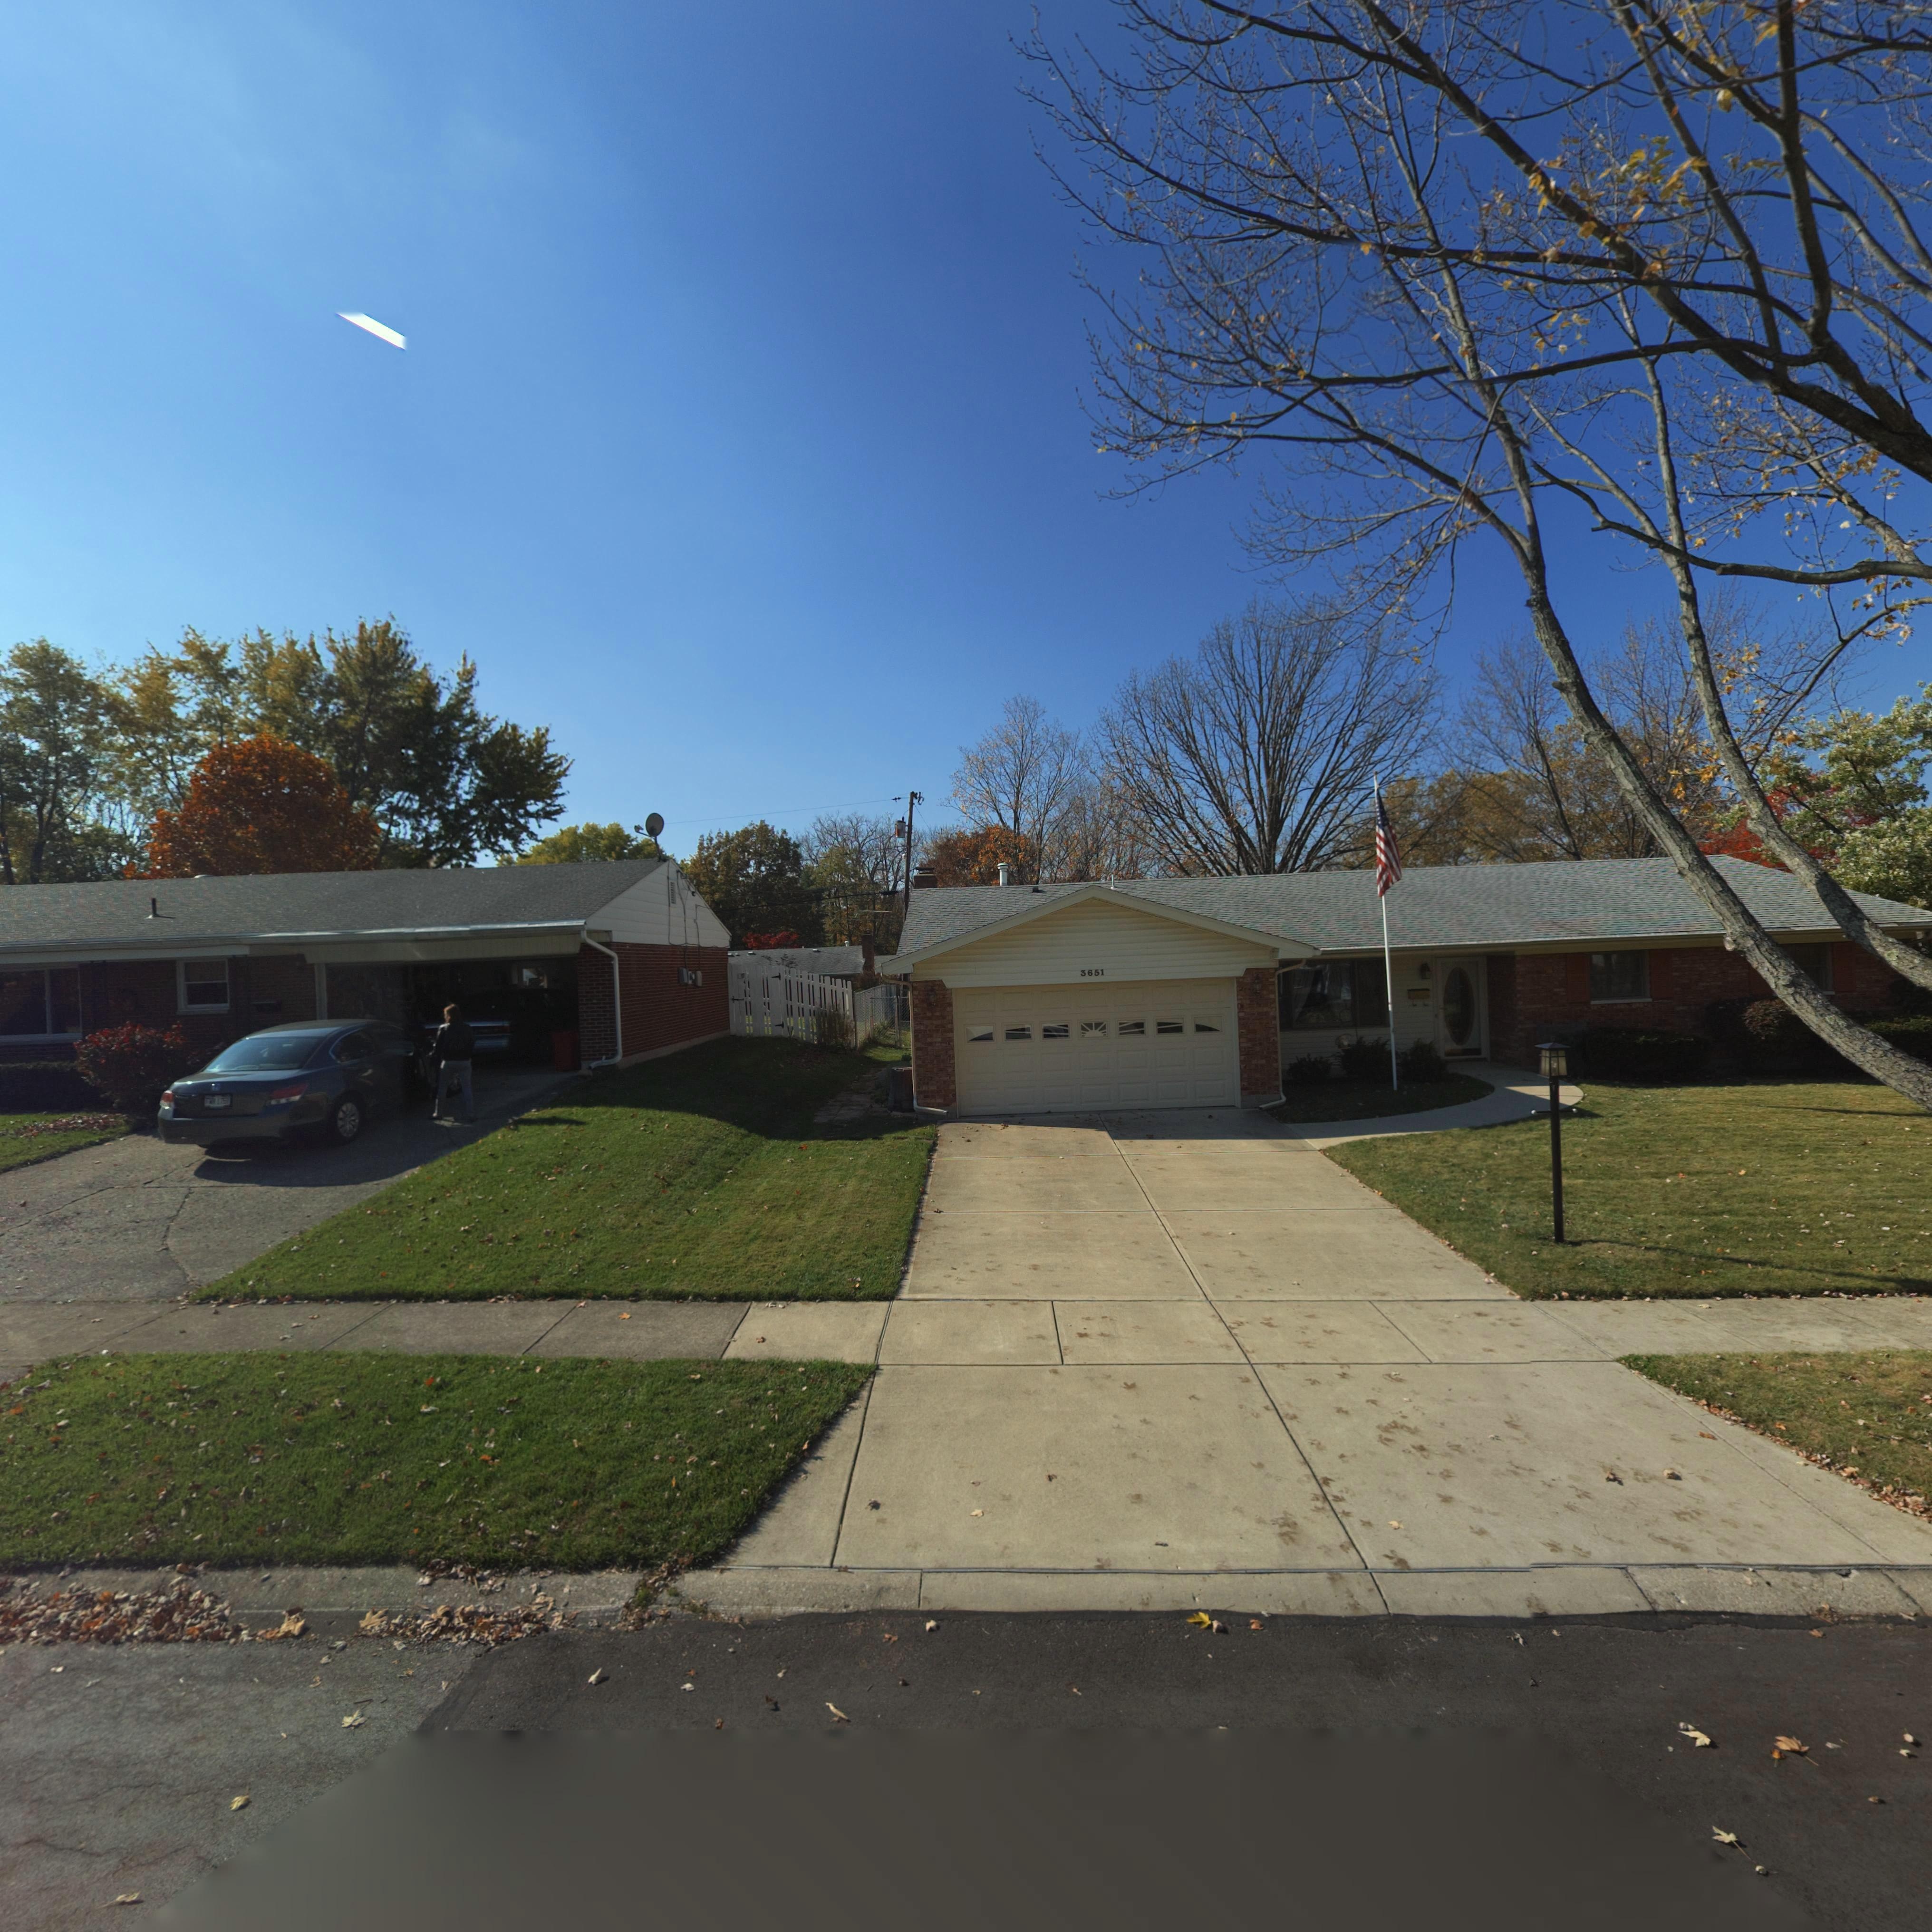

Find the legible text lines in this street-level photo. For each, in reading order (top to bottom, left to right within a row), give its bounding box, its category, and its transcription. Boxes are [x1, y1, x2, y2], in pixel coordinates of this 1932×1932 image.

[1079, 968, 1105, 977] StreetNumber: 3651